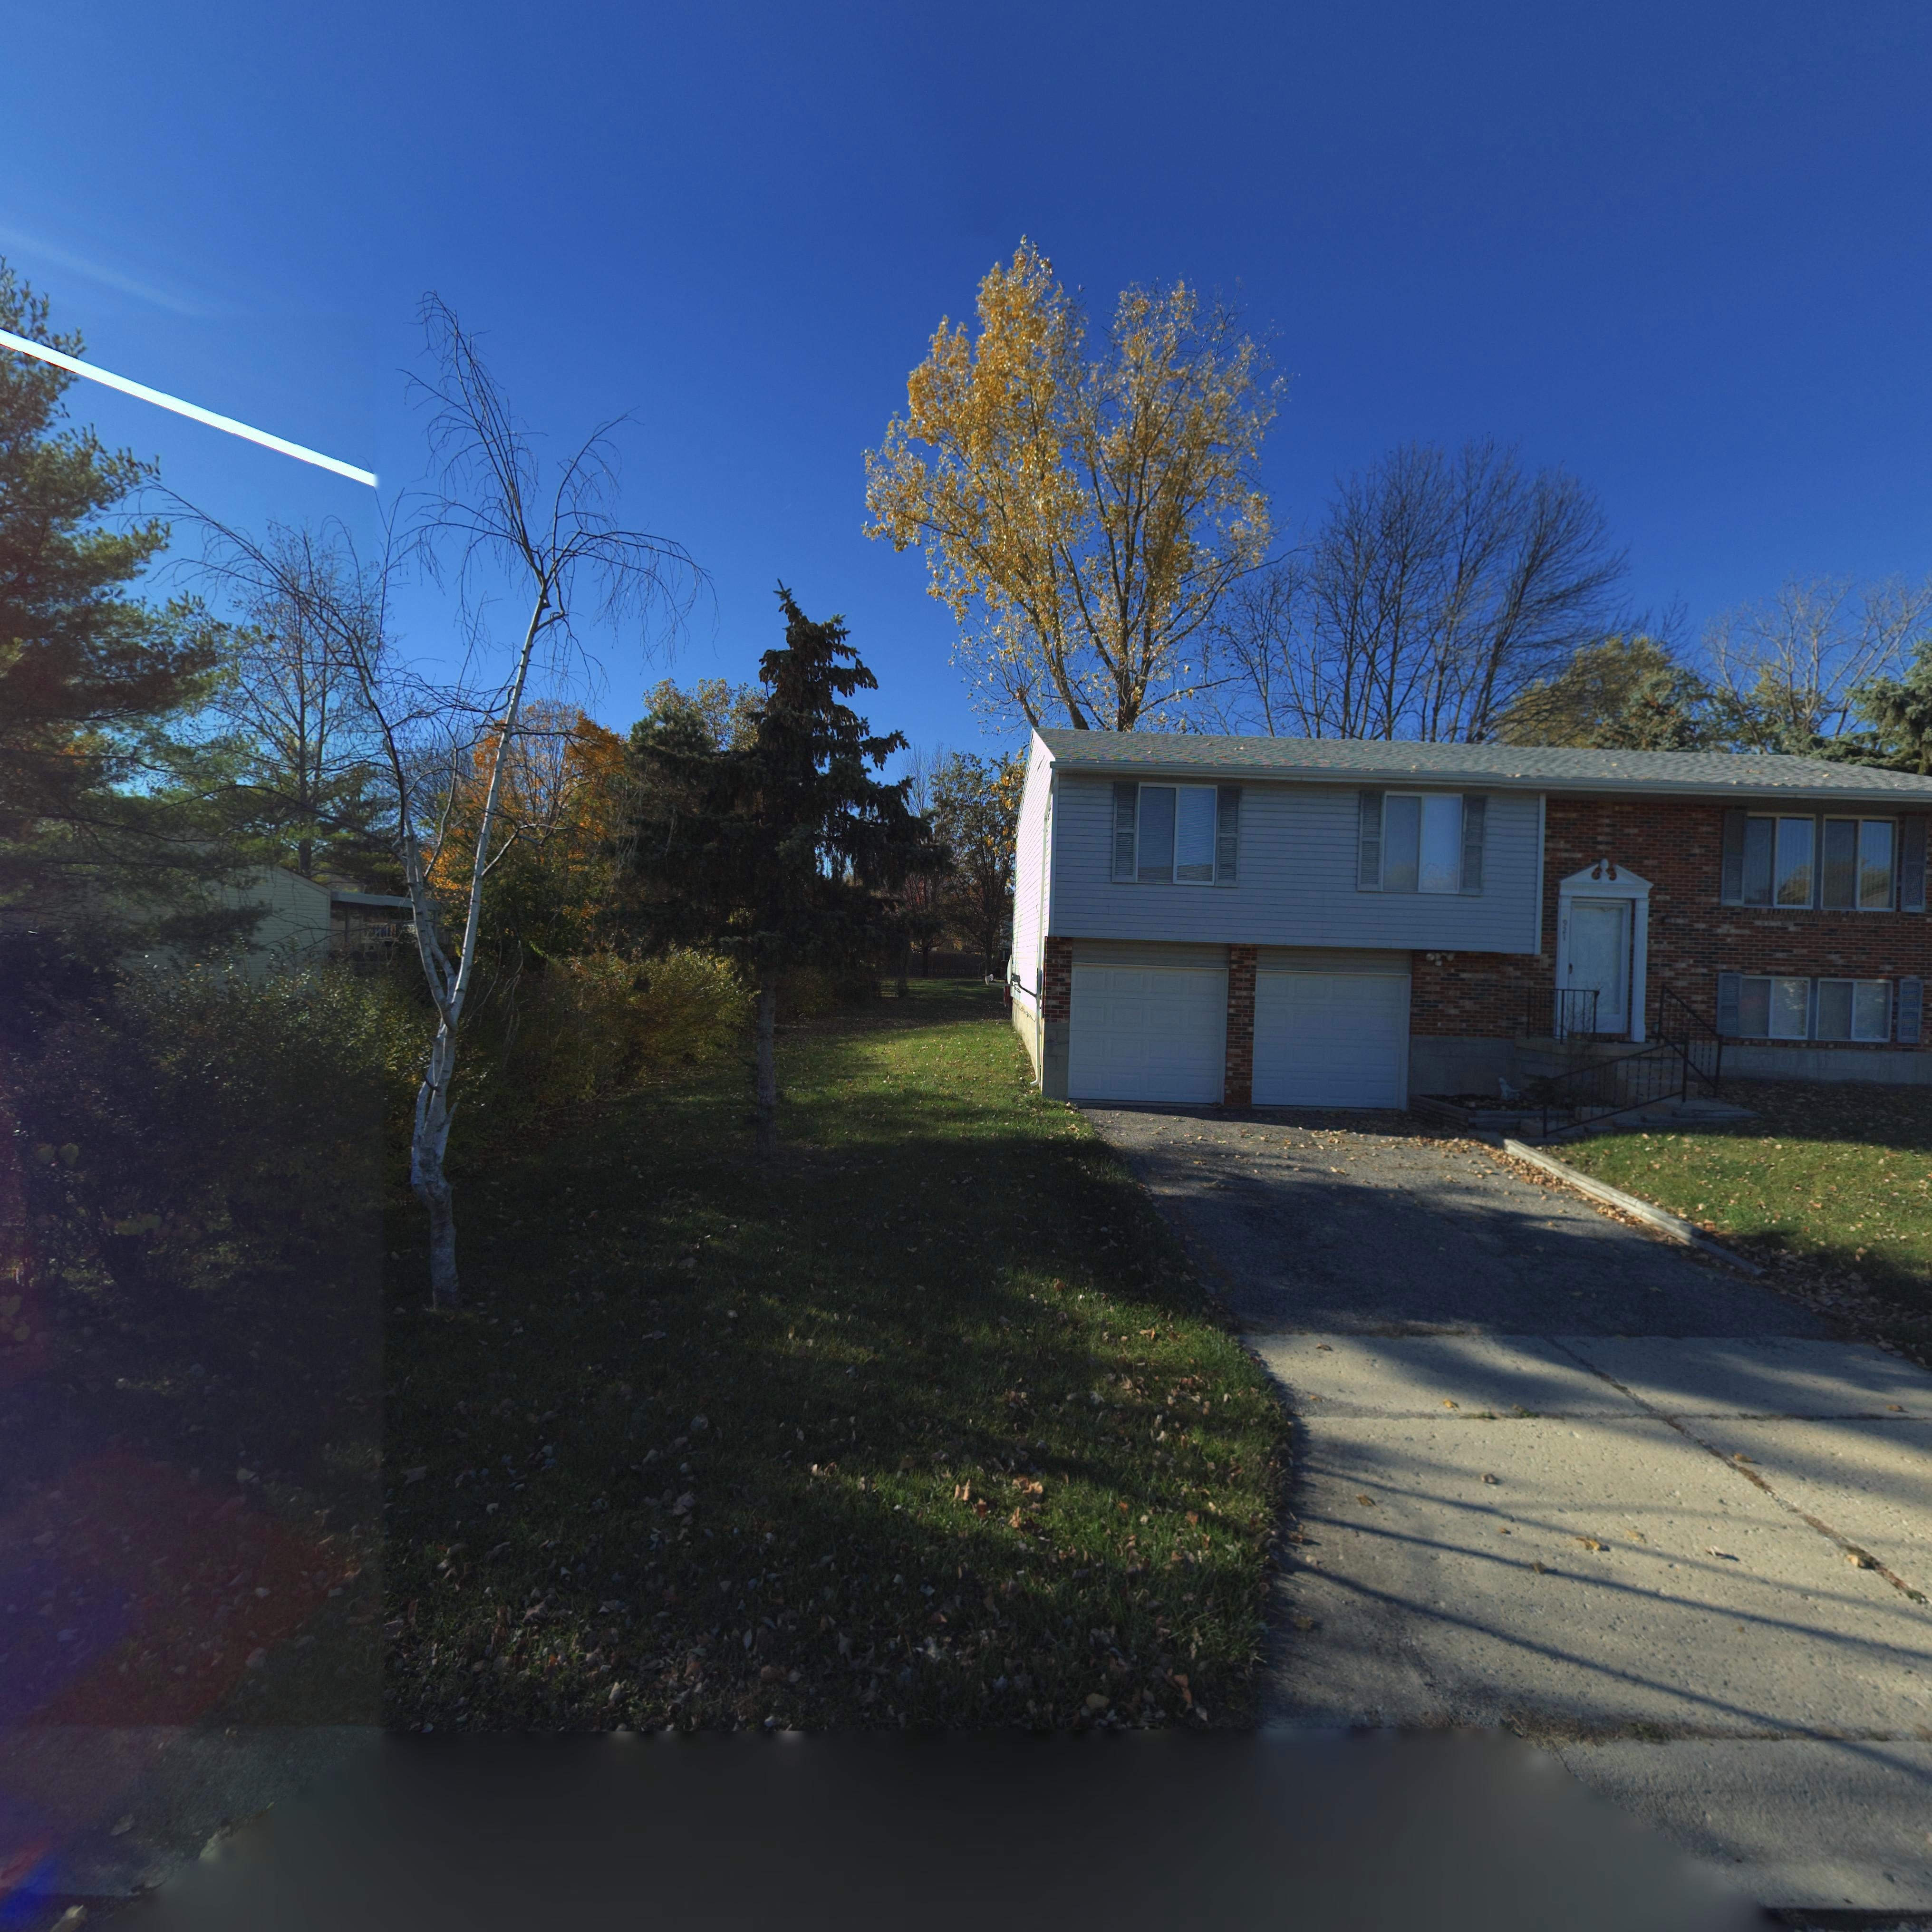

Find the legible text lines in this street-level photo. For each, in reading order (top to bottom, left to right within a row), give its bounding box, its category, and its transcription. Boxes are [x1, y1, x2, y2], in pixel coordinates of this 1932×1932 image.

[1562, 918, 1568, 942] StreetNumber: 921